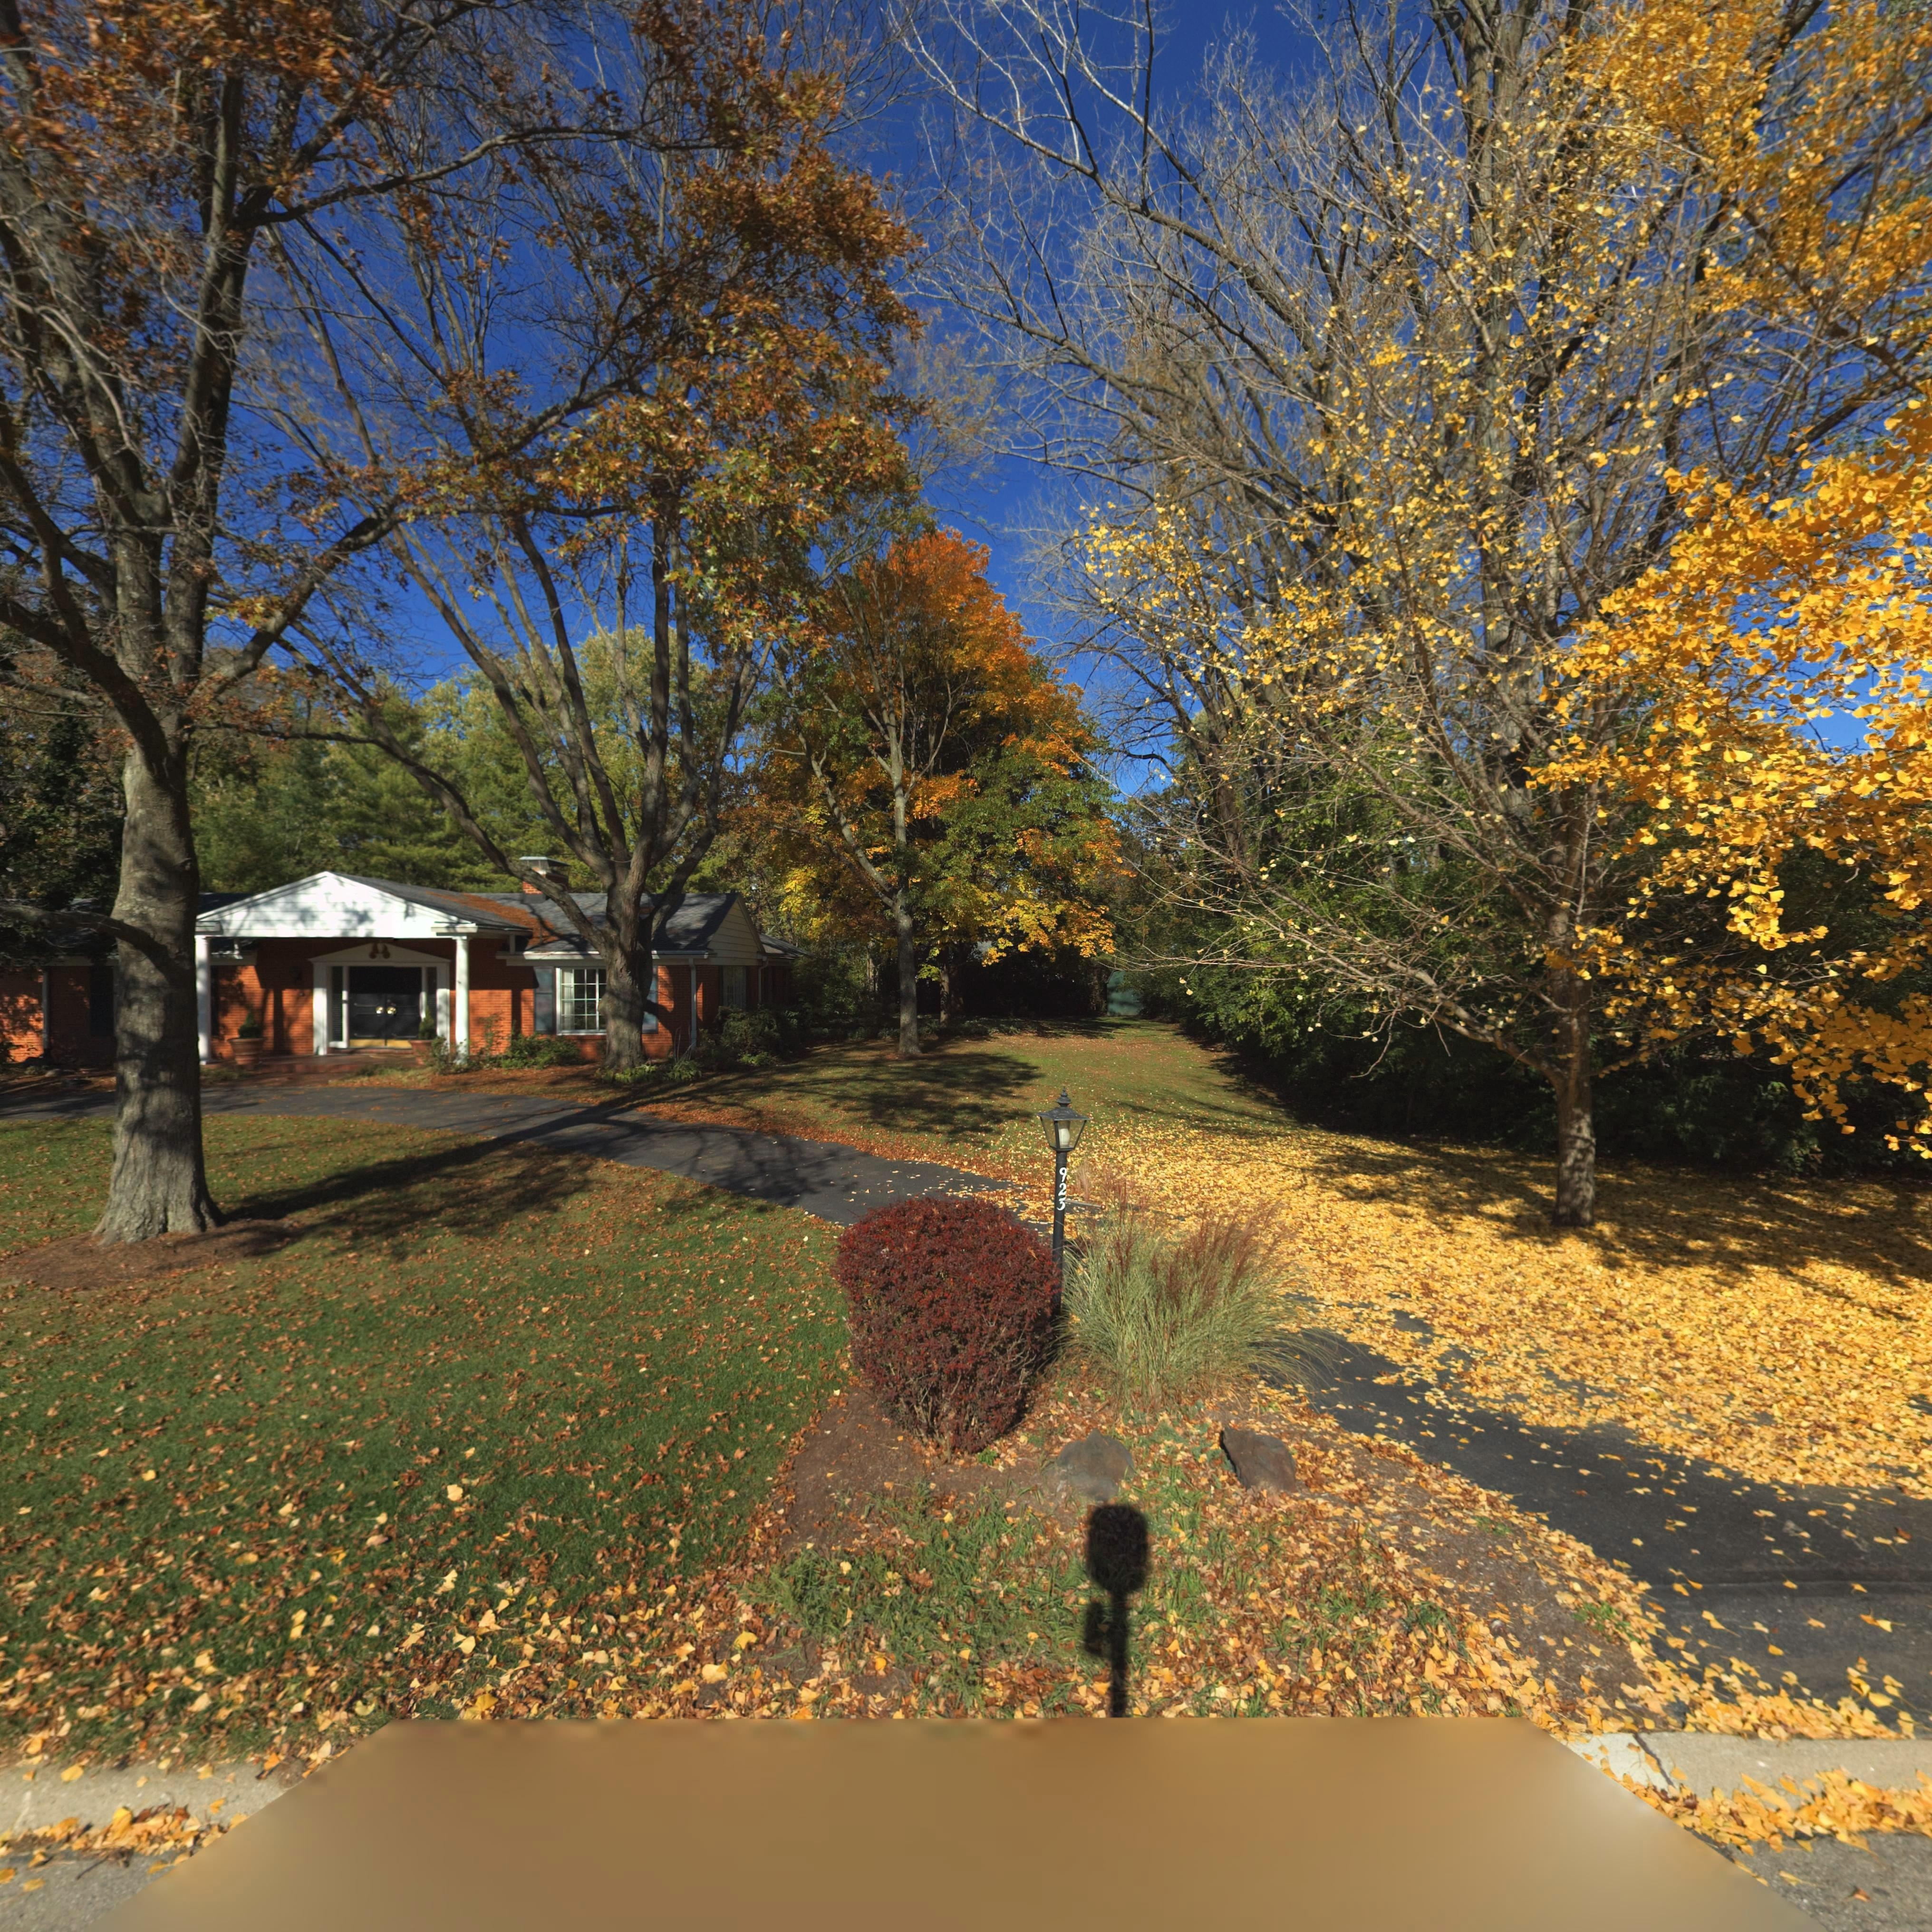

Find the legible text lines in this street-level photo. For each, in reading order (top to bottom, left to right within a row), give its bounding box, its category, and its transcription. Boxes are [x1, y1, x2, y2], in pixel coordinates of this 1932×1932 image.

[1055, 1166, 1068, 1212] StreetNumber: 923